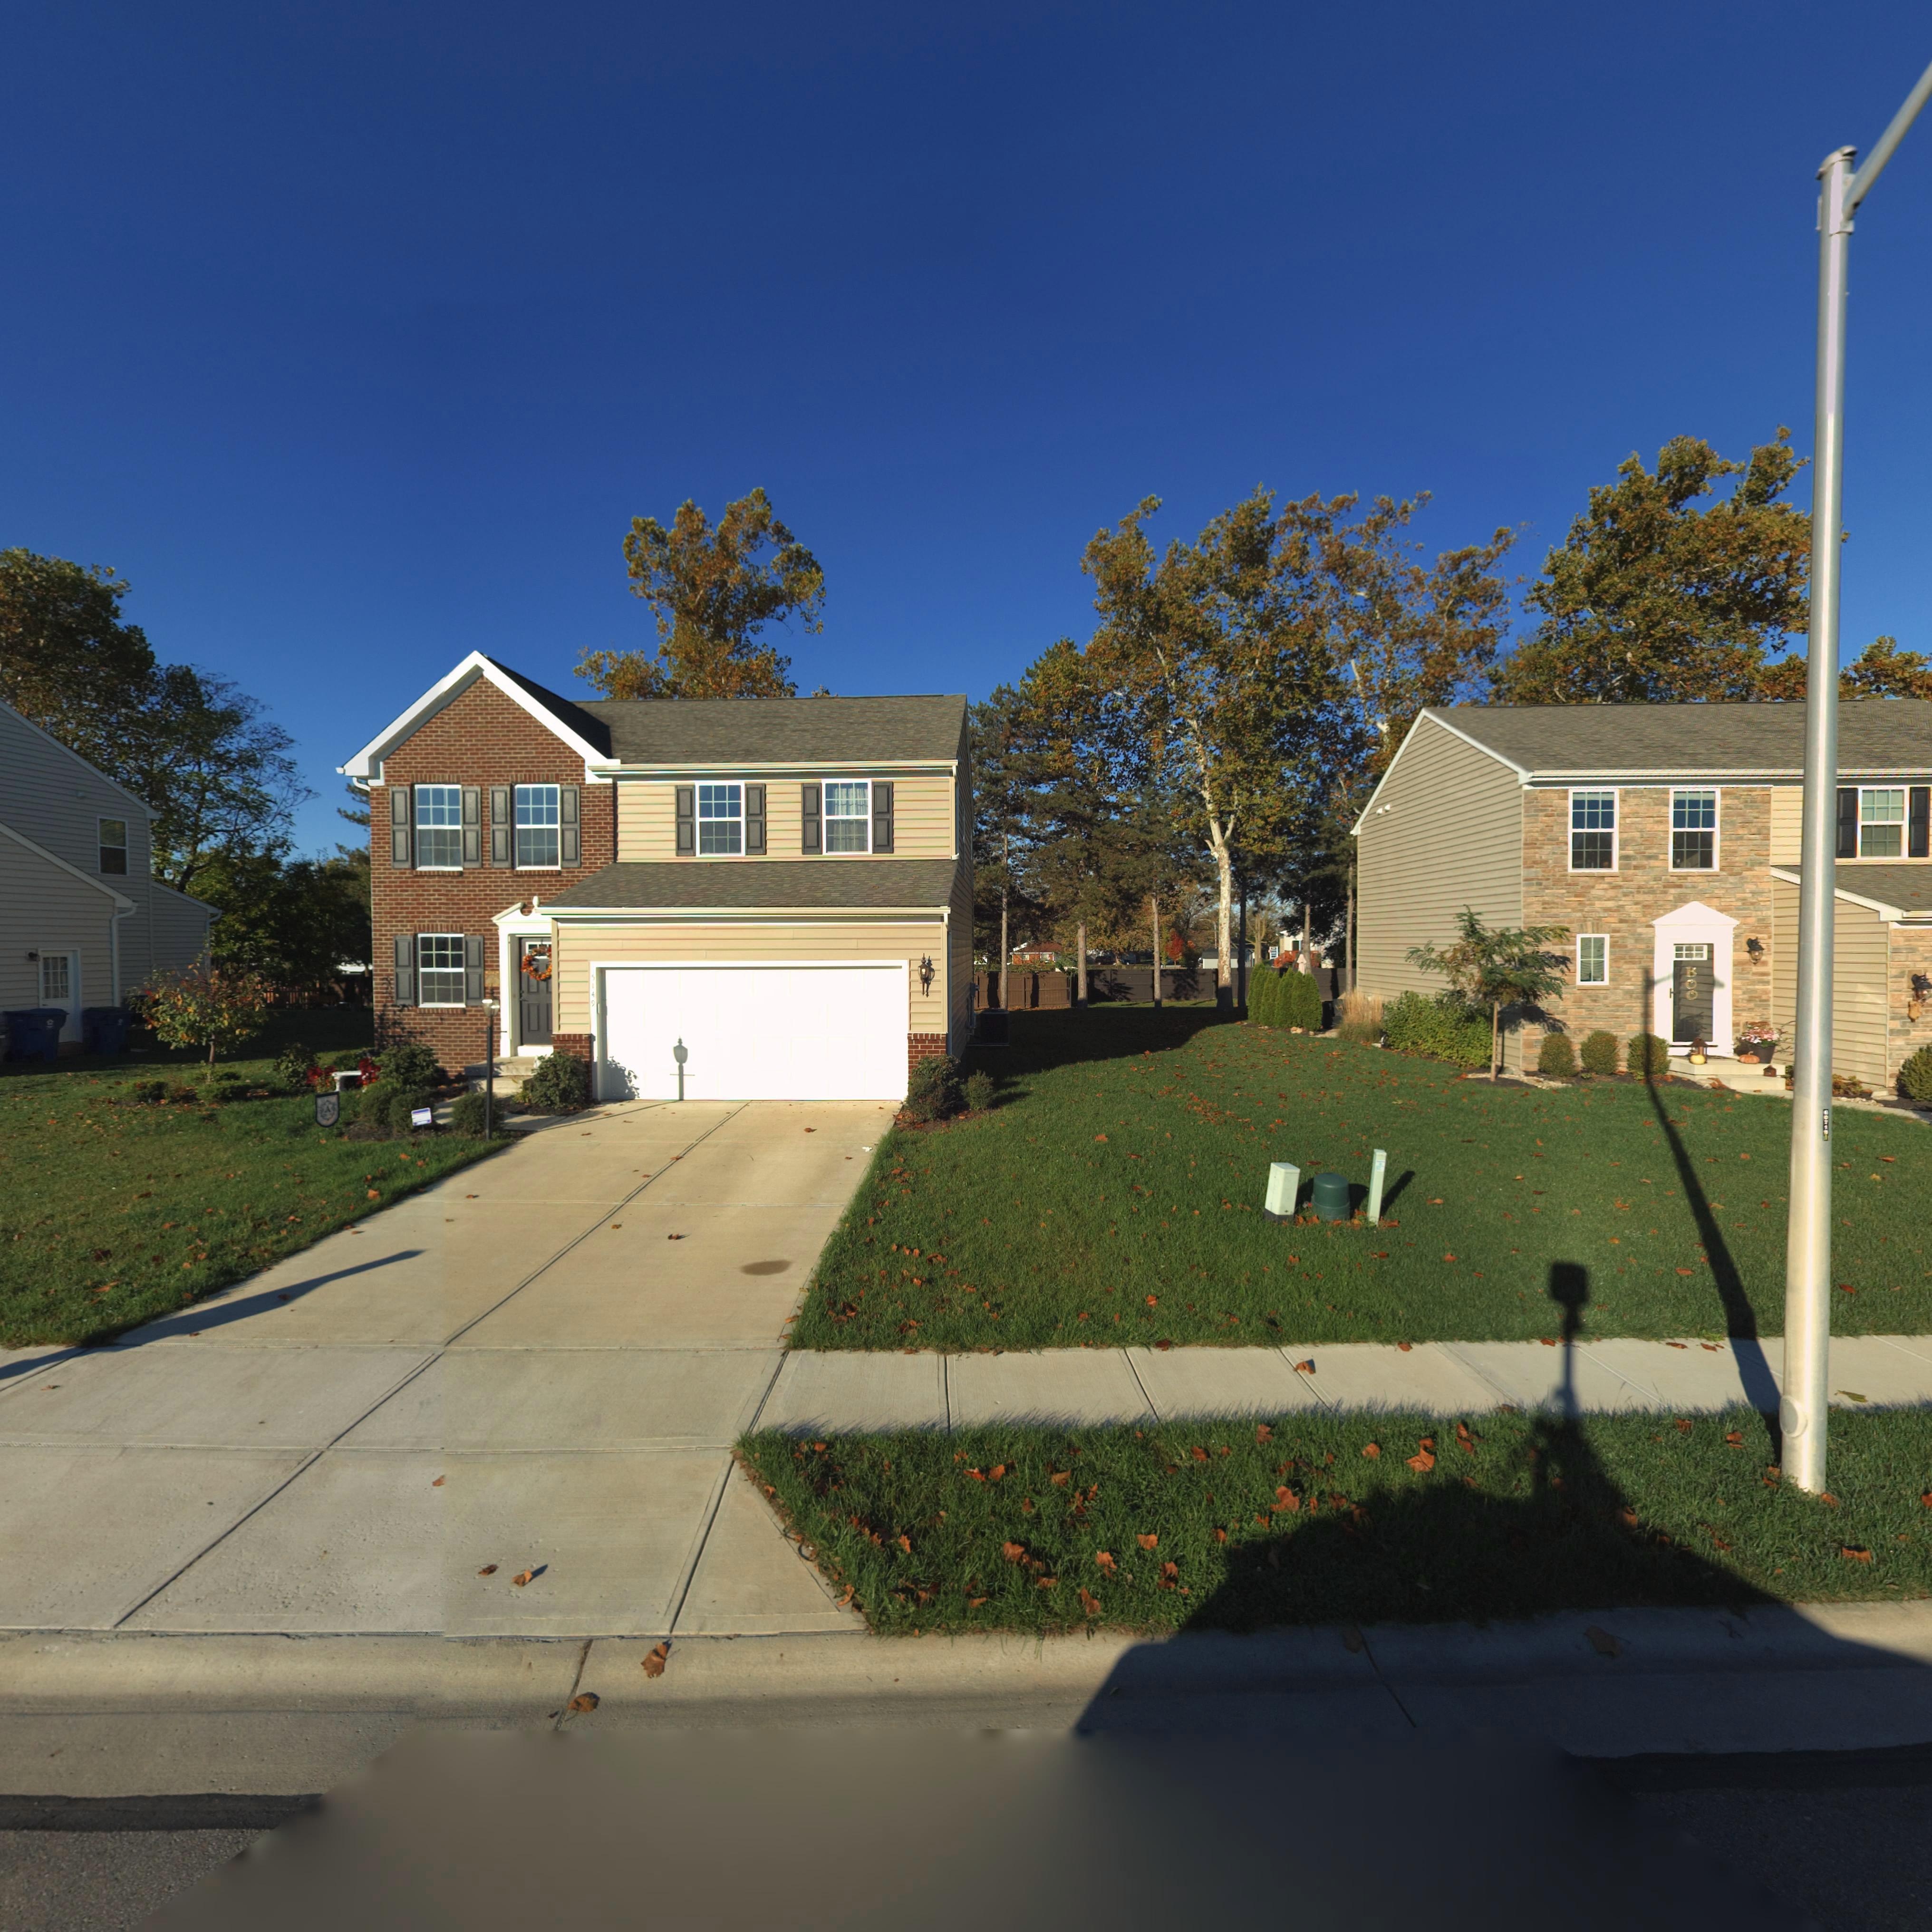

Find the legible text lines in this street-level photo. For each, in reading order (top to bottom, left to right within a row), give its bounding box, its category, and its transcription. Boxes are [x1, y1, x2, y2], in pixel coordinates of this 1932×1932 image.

[590, 973, 596, 1007] StreetNumber: 5149